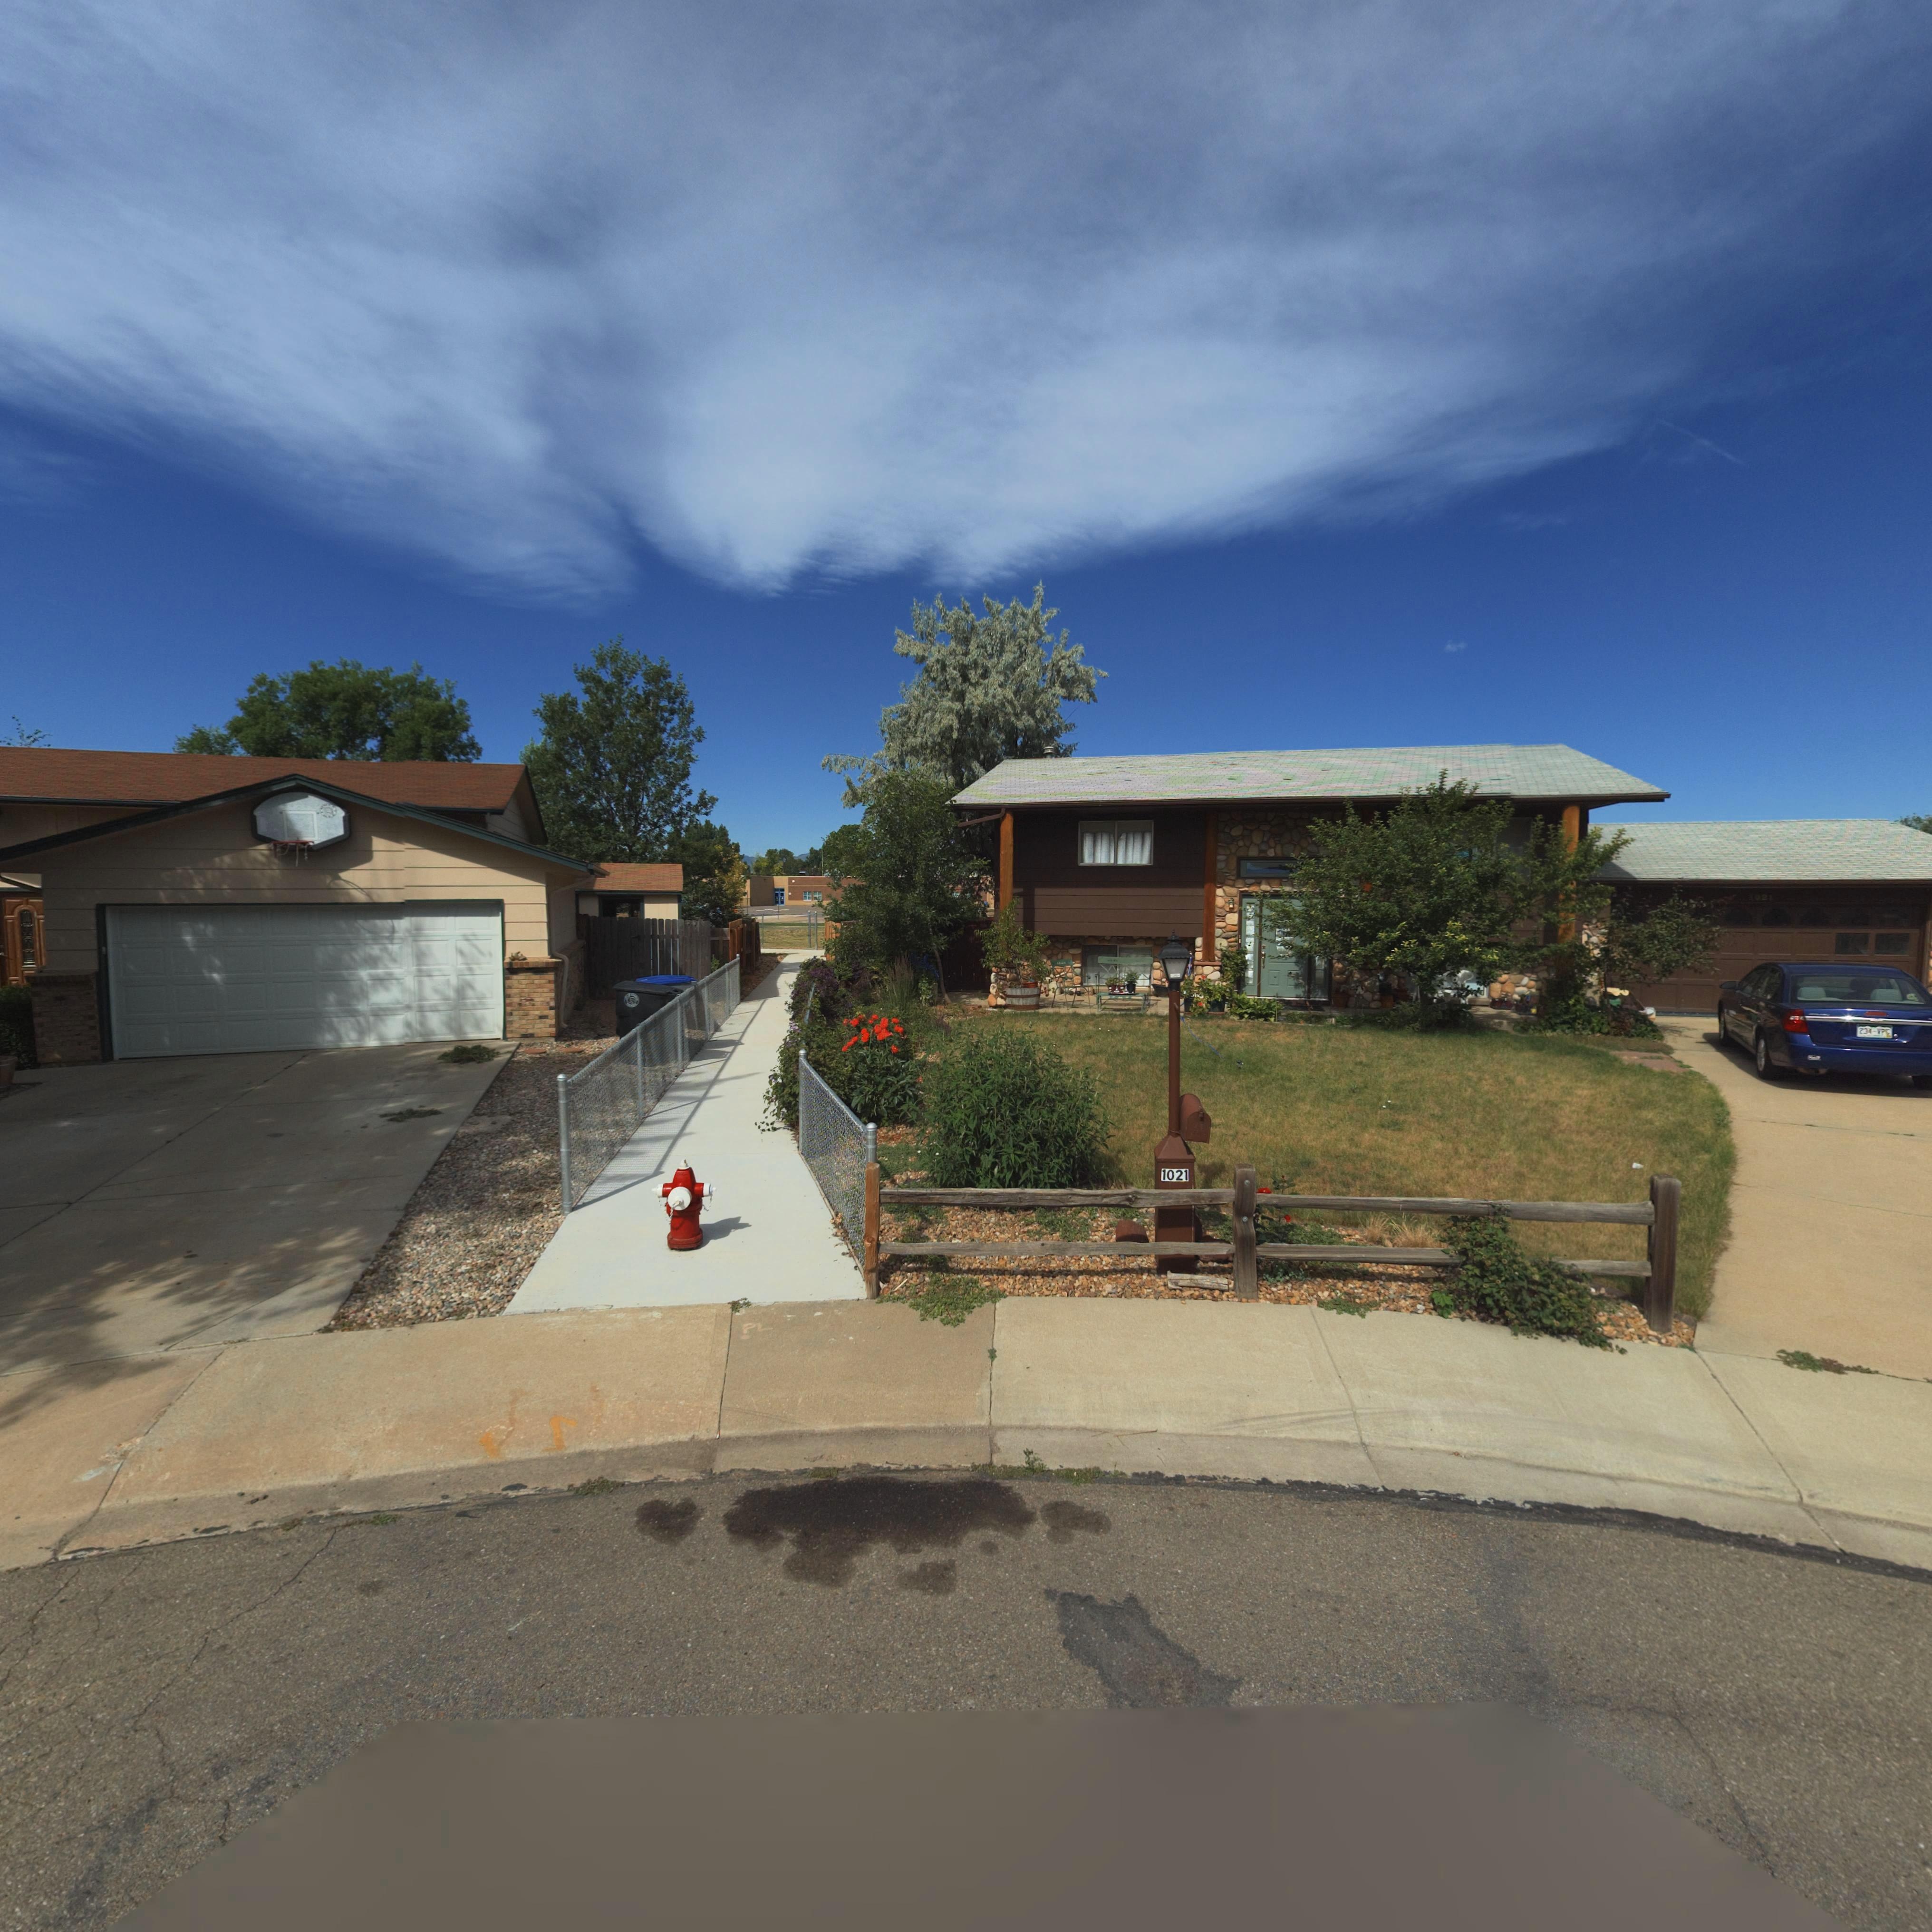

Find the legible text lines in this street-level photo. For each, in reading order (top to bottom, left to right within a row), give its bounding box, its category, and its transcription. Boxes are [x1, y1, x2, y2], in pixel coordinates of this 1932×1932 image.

[1161, 1169, 1188, 1181] StreetNumber: 1021